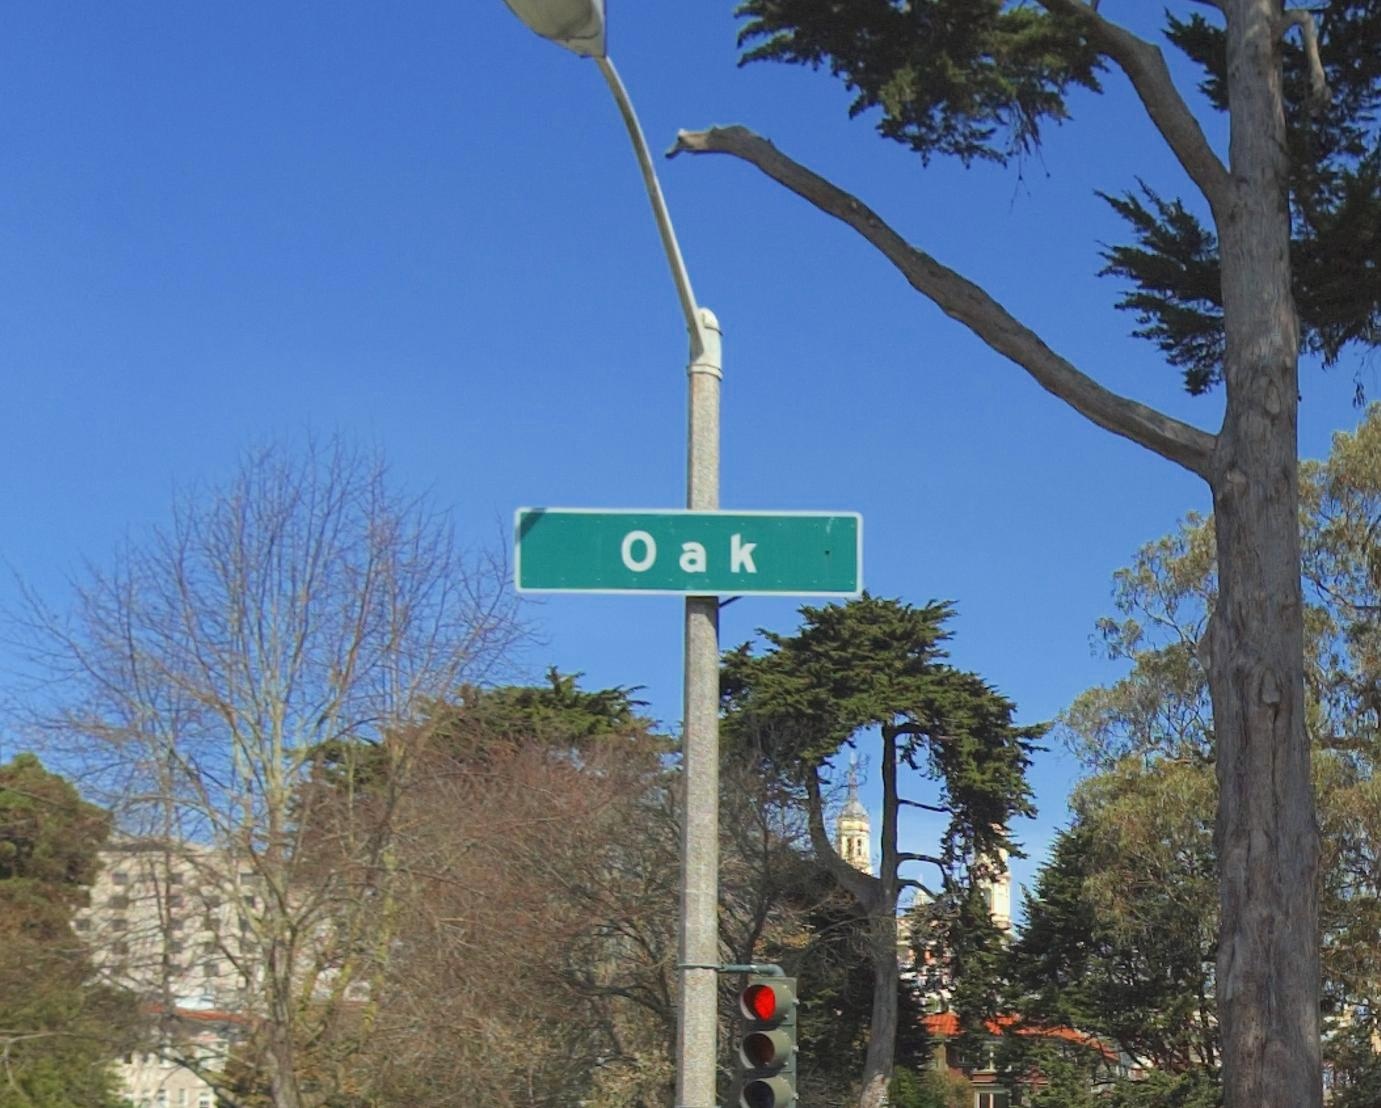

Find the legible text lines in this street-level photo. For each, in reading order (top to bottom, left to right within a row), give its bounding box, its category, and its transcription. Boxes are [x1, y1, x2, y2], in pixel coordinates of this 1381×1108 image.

[619, 529, 759, 576] StreetName: Oak